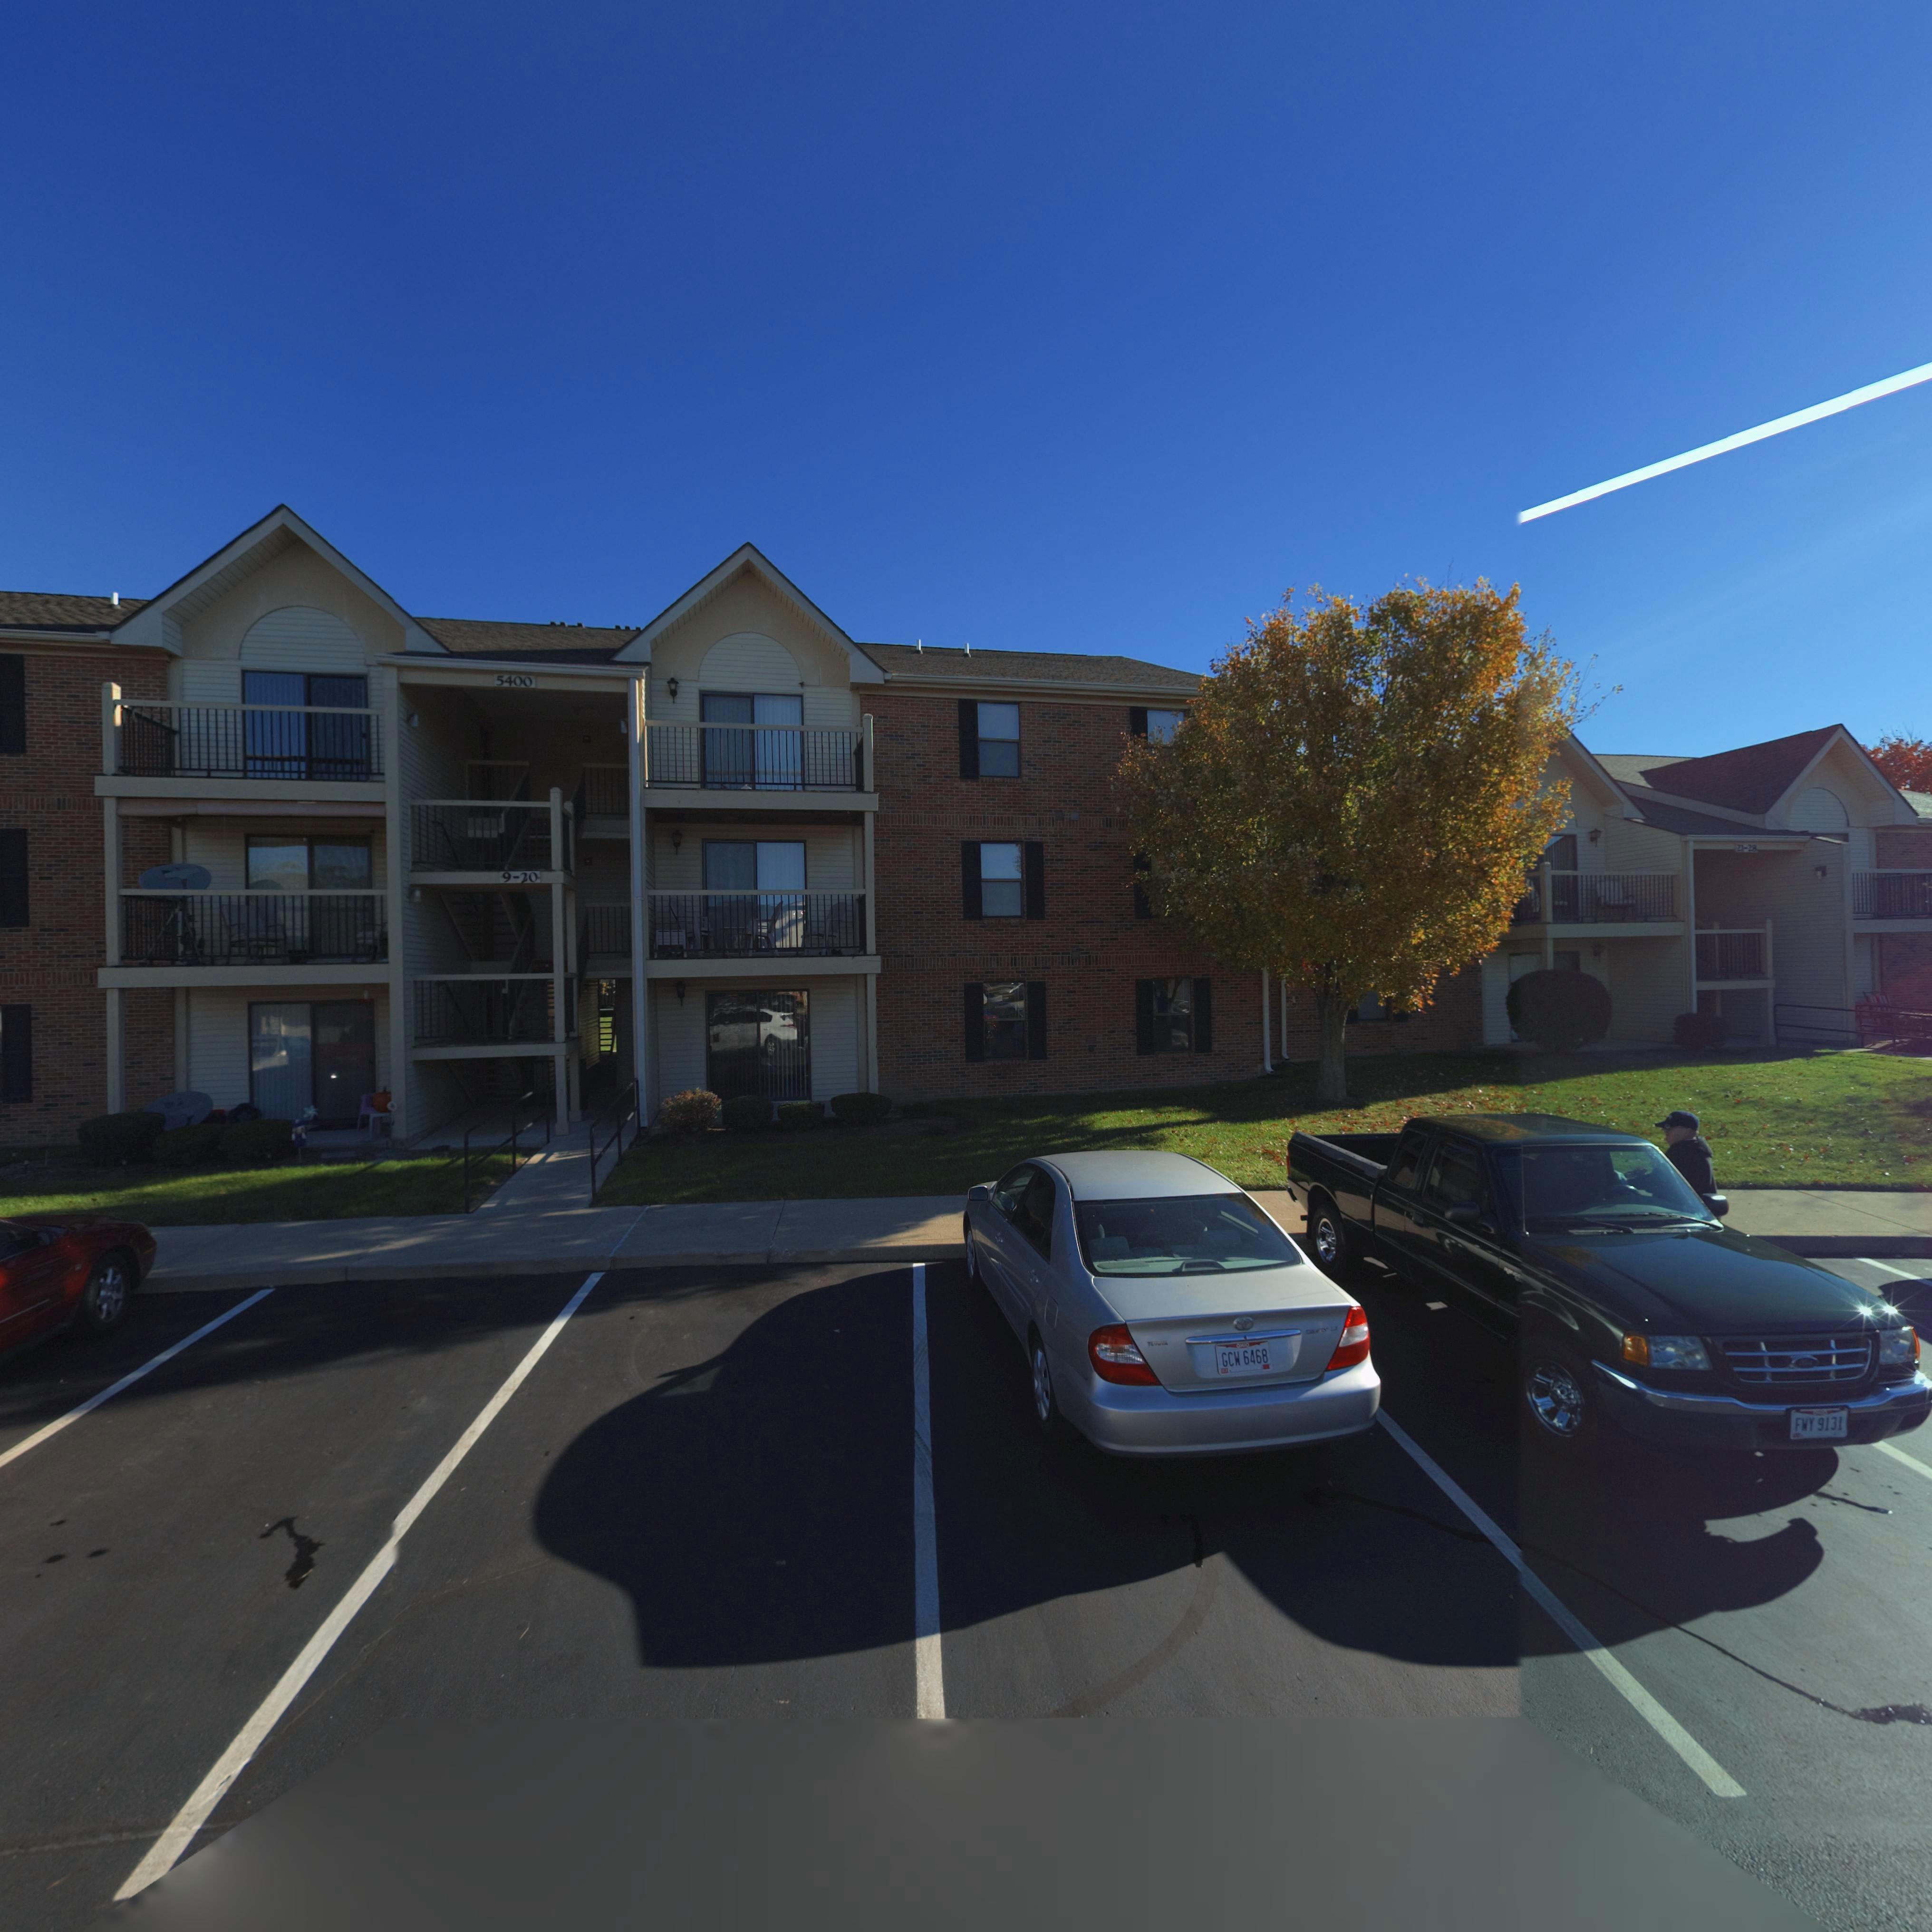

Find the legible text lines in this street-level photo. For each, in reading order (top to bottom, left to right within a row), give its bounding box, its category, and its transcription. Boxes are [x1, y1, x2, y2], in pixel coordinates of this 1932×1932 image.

[495, 674, 533, 688] StreetNumber: 5400
[1736, 843, 1757, 852] StreetNumber: 21-28
[500, 870, 539, 883] StreetNumber: 9-20